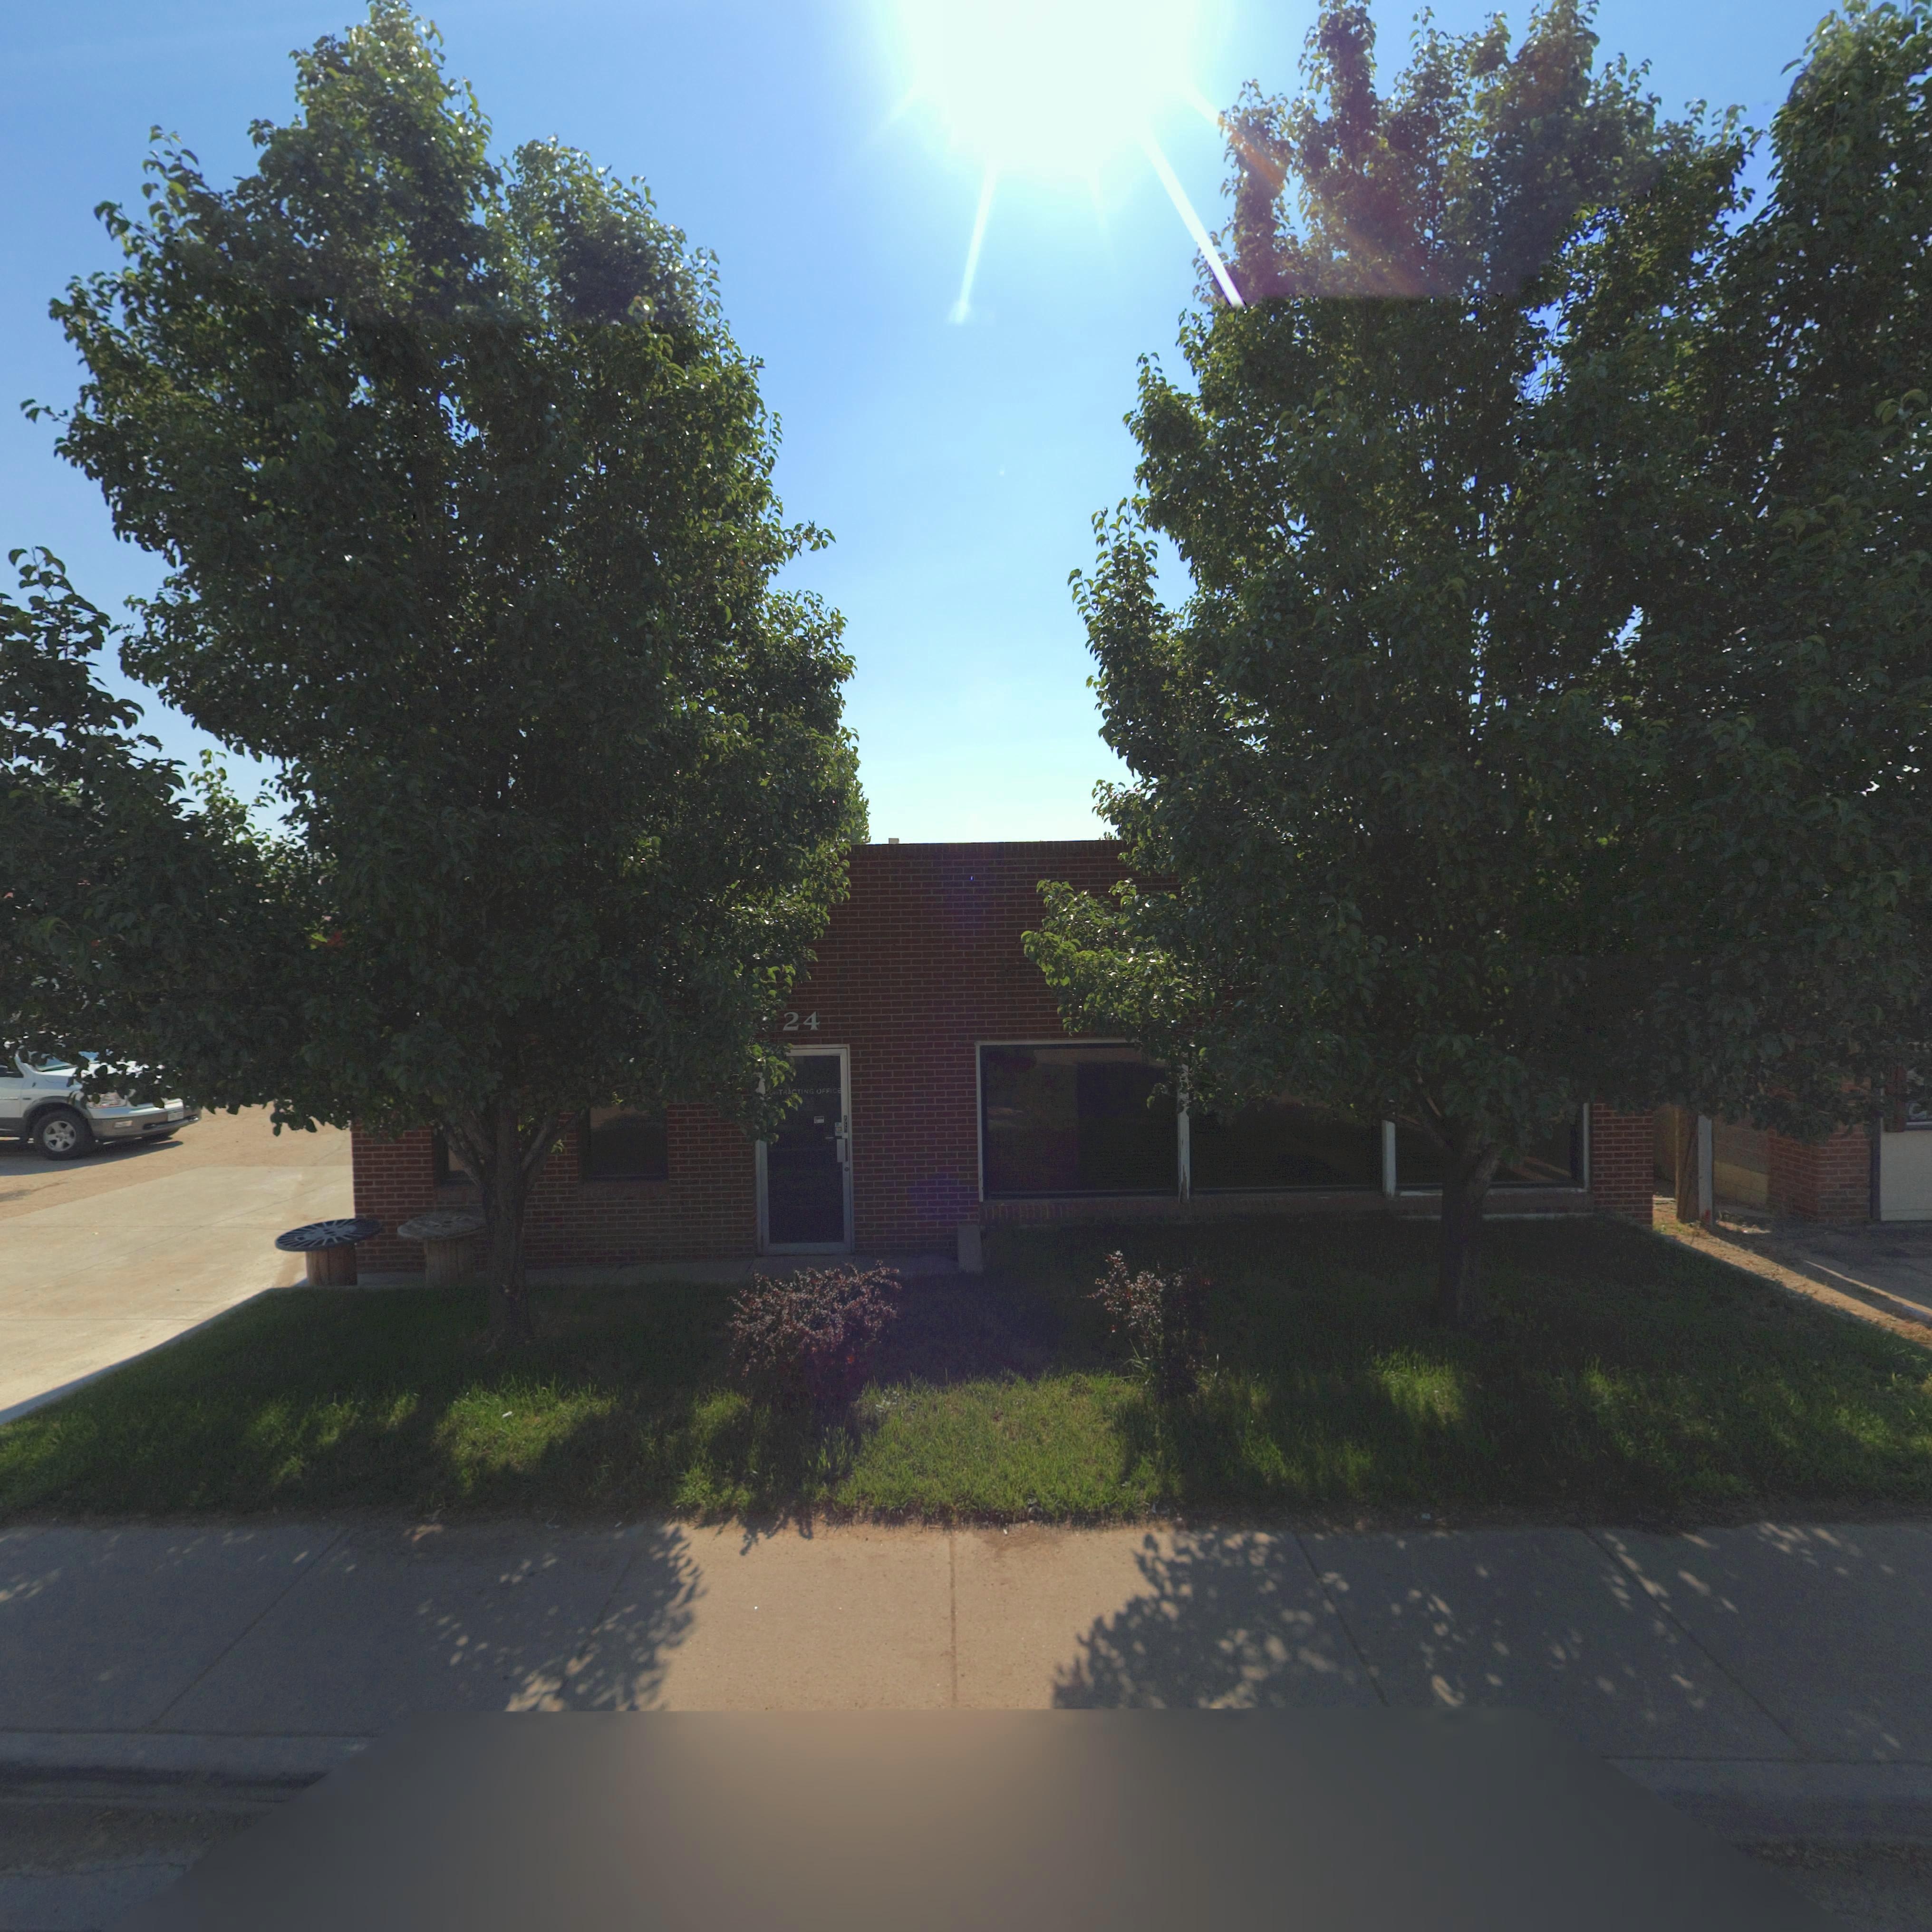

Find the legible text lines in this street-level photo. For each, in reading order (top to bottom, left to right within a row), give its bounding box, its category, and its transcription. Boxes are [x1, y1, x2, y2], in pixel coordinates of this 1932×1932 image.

[782, 1011, 821, 1032] StreetNumber: 24